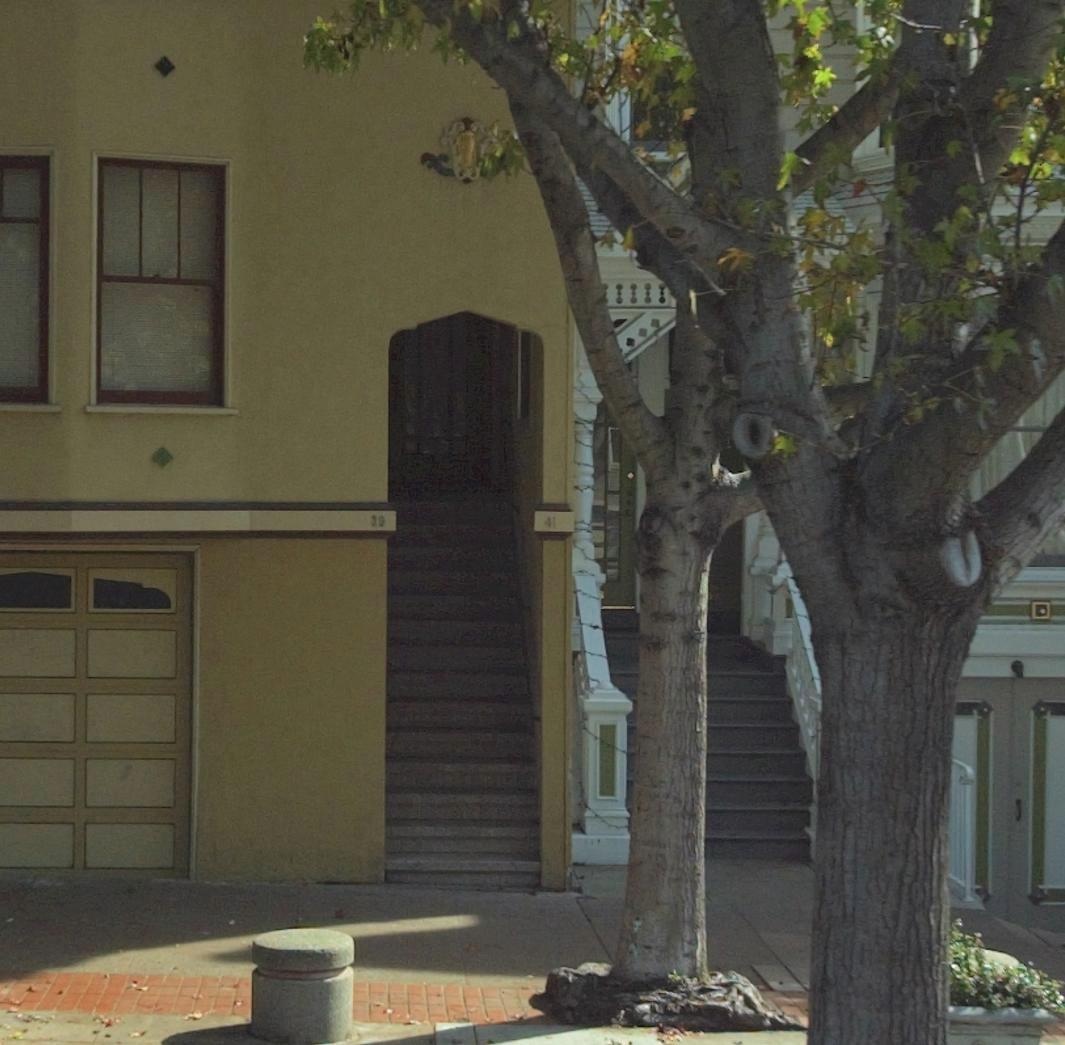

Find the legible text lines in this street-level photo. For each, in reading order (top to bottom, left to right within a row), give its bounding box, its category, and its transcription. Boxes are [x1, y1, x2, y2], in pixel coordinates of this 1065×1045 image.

[370, 514, 388, 529] StreetNumber: 39
[541, 515, 559, 529] StreetNumber: 41